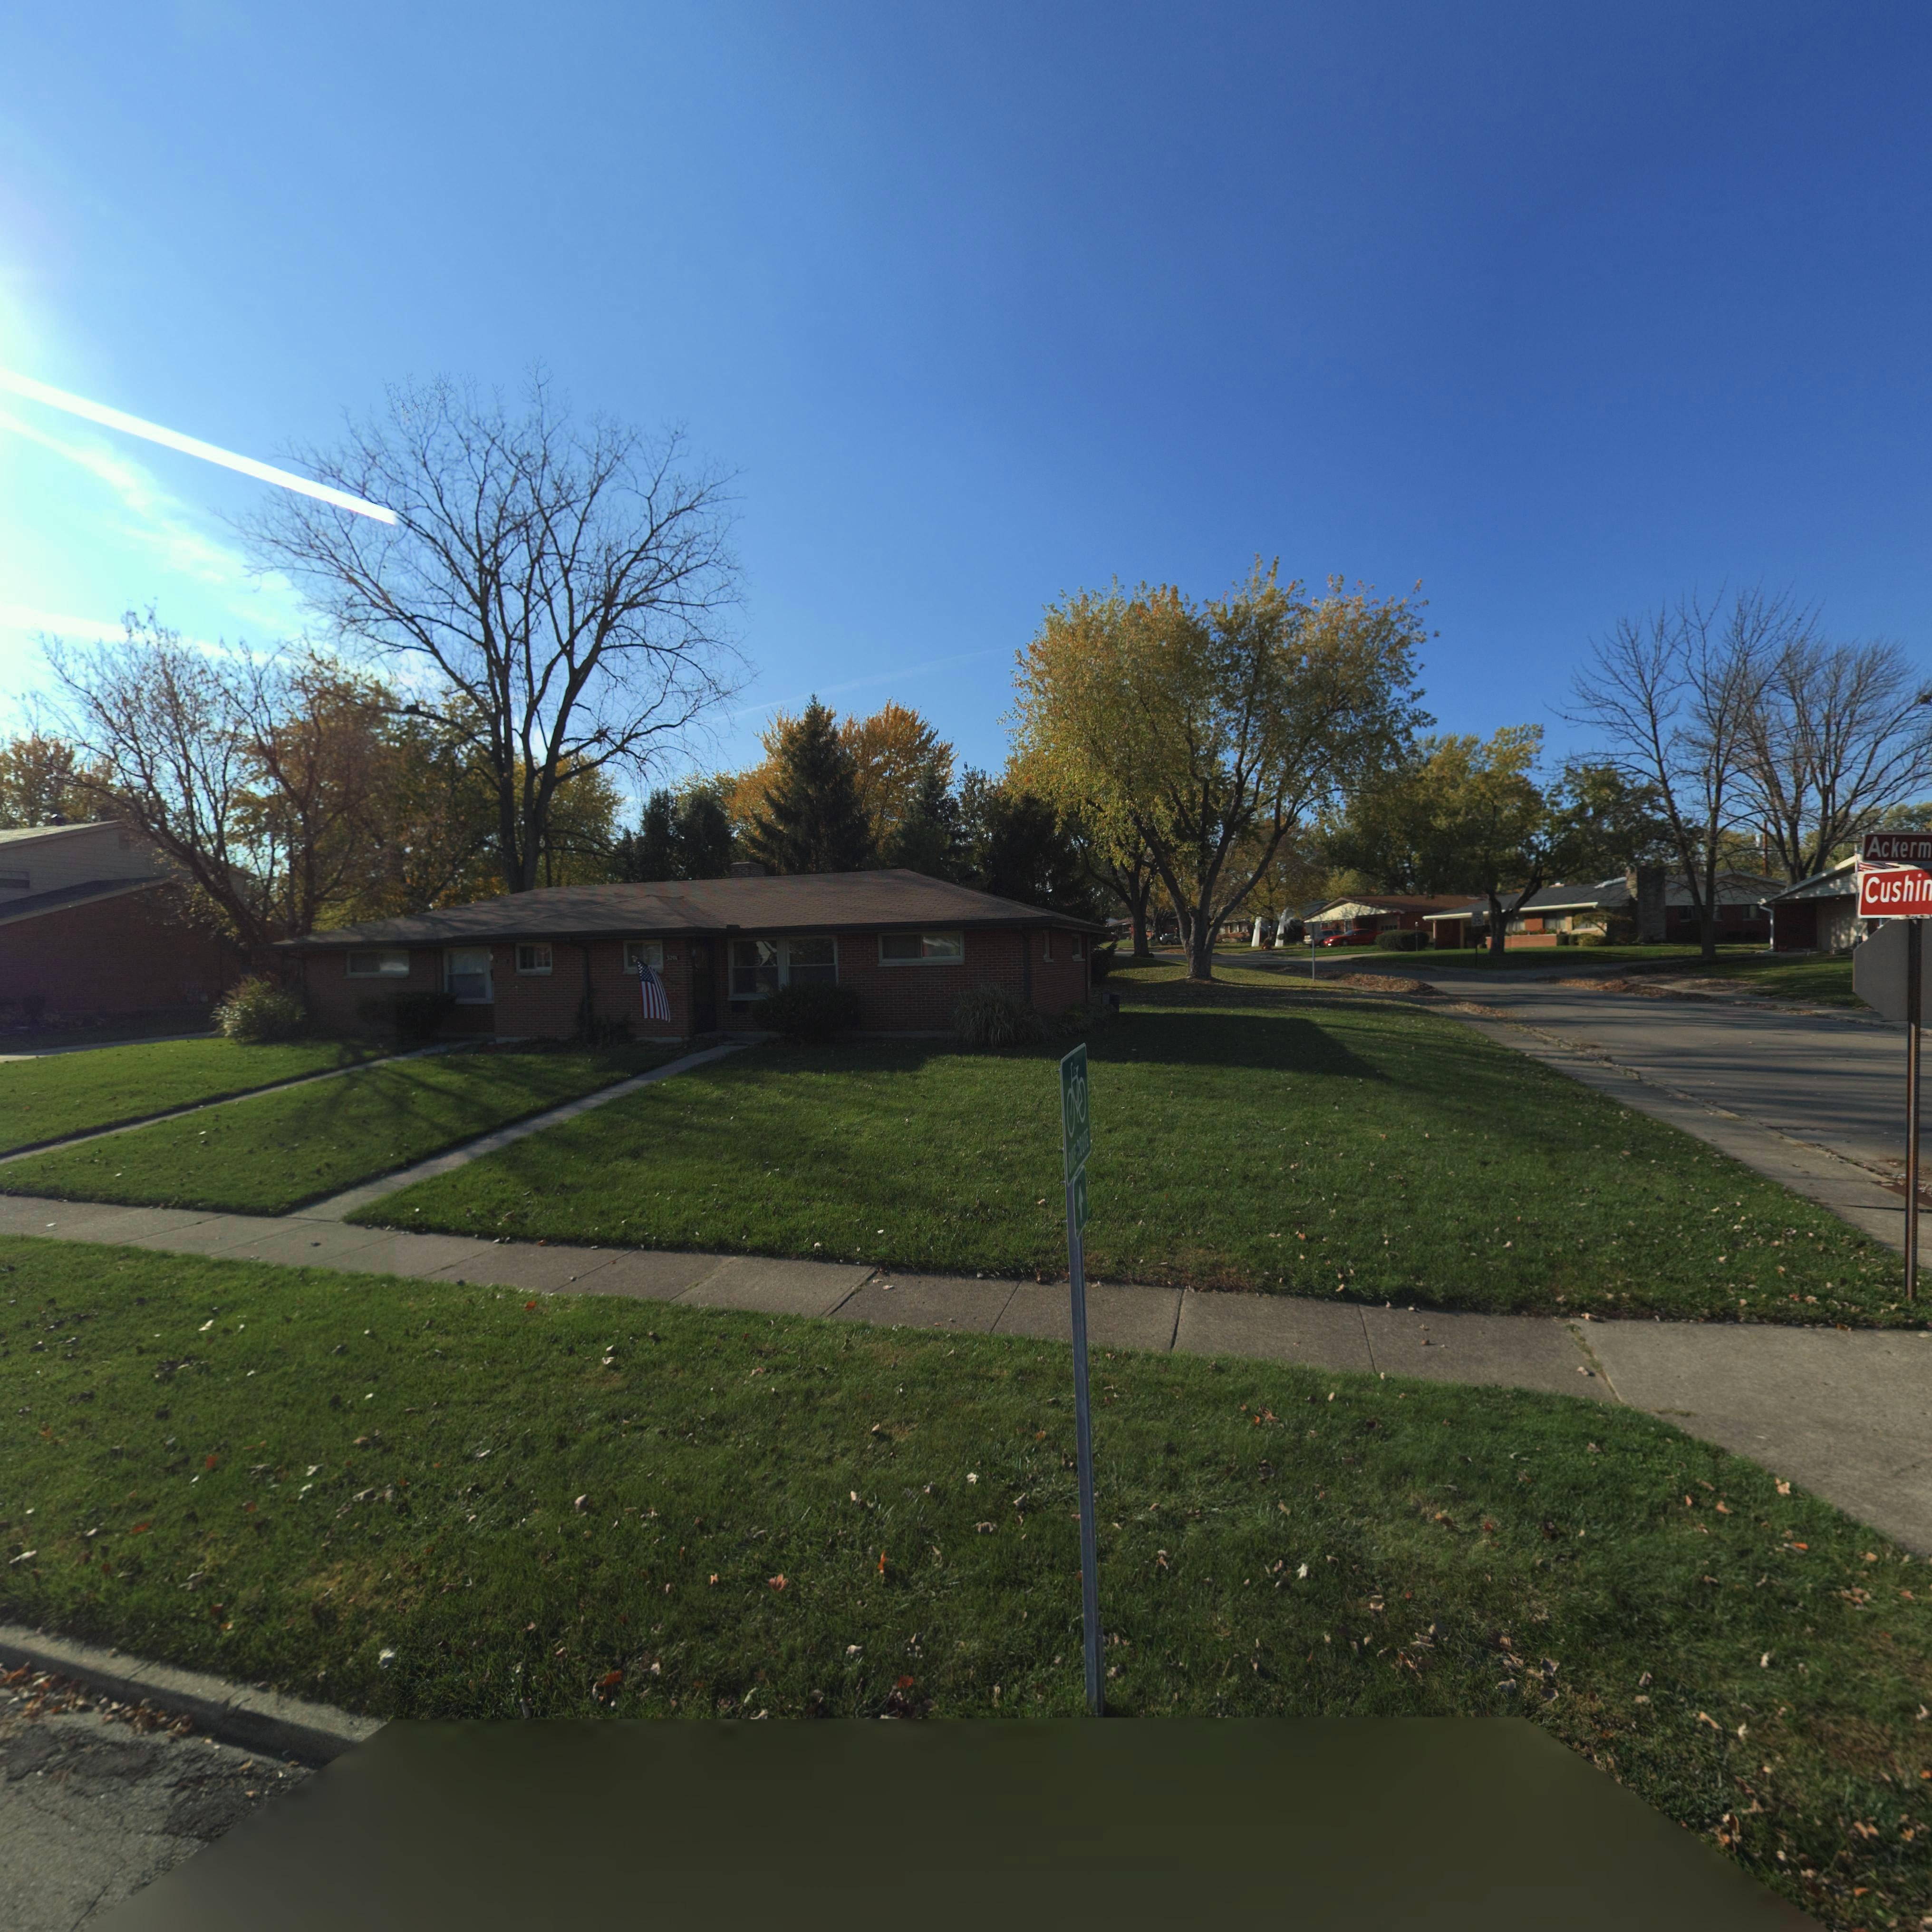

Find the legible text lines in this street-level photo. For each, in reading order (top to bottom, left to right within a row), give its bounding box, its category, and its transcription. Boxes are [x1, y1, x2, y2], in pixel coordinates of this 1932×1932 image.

[1864, 835, 1932, 859] StreetName: ACkerm
[1864, 872, 1932, 904] StreetName: Cushin
[667, 955, 678, 960] StreetNumber: 3201